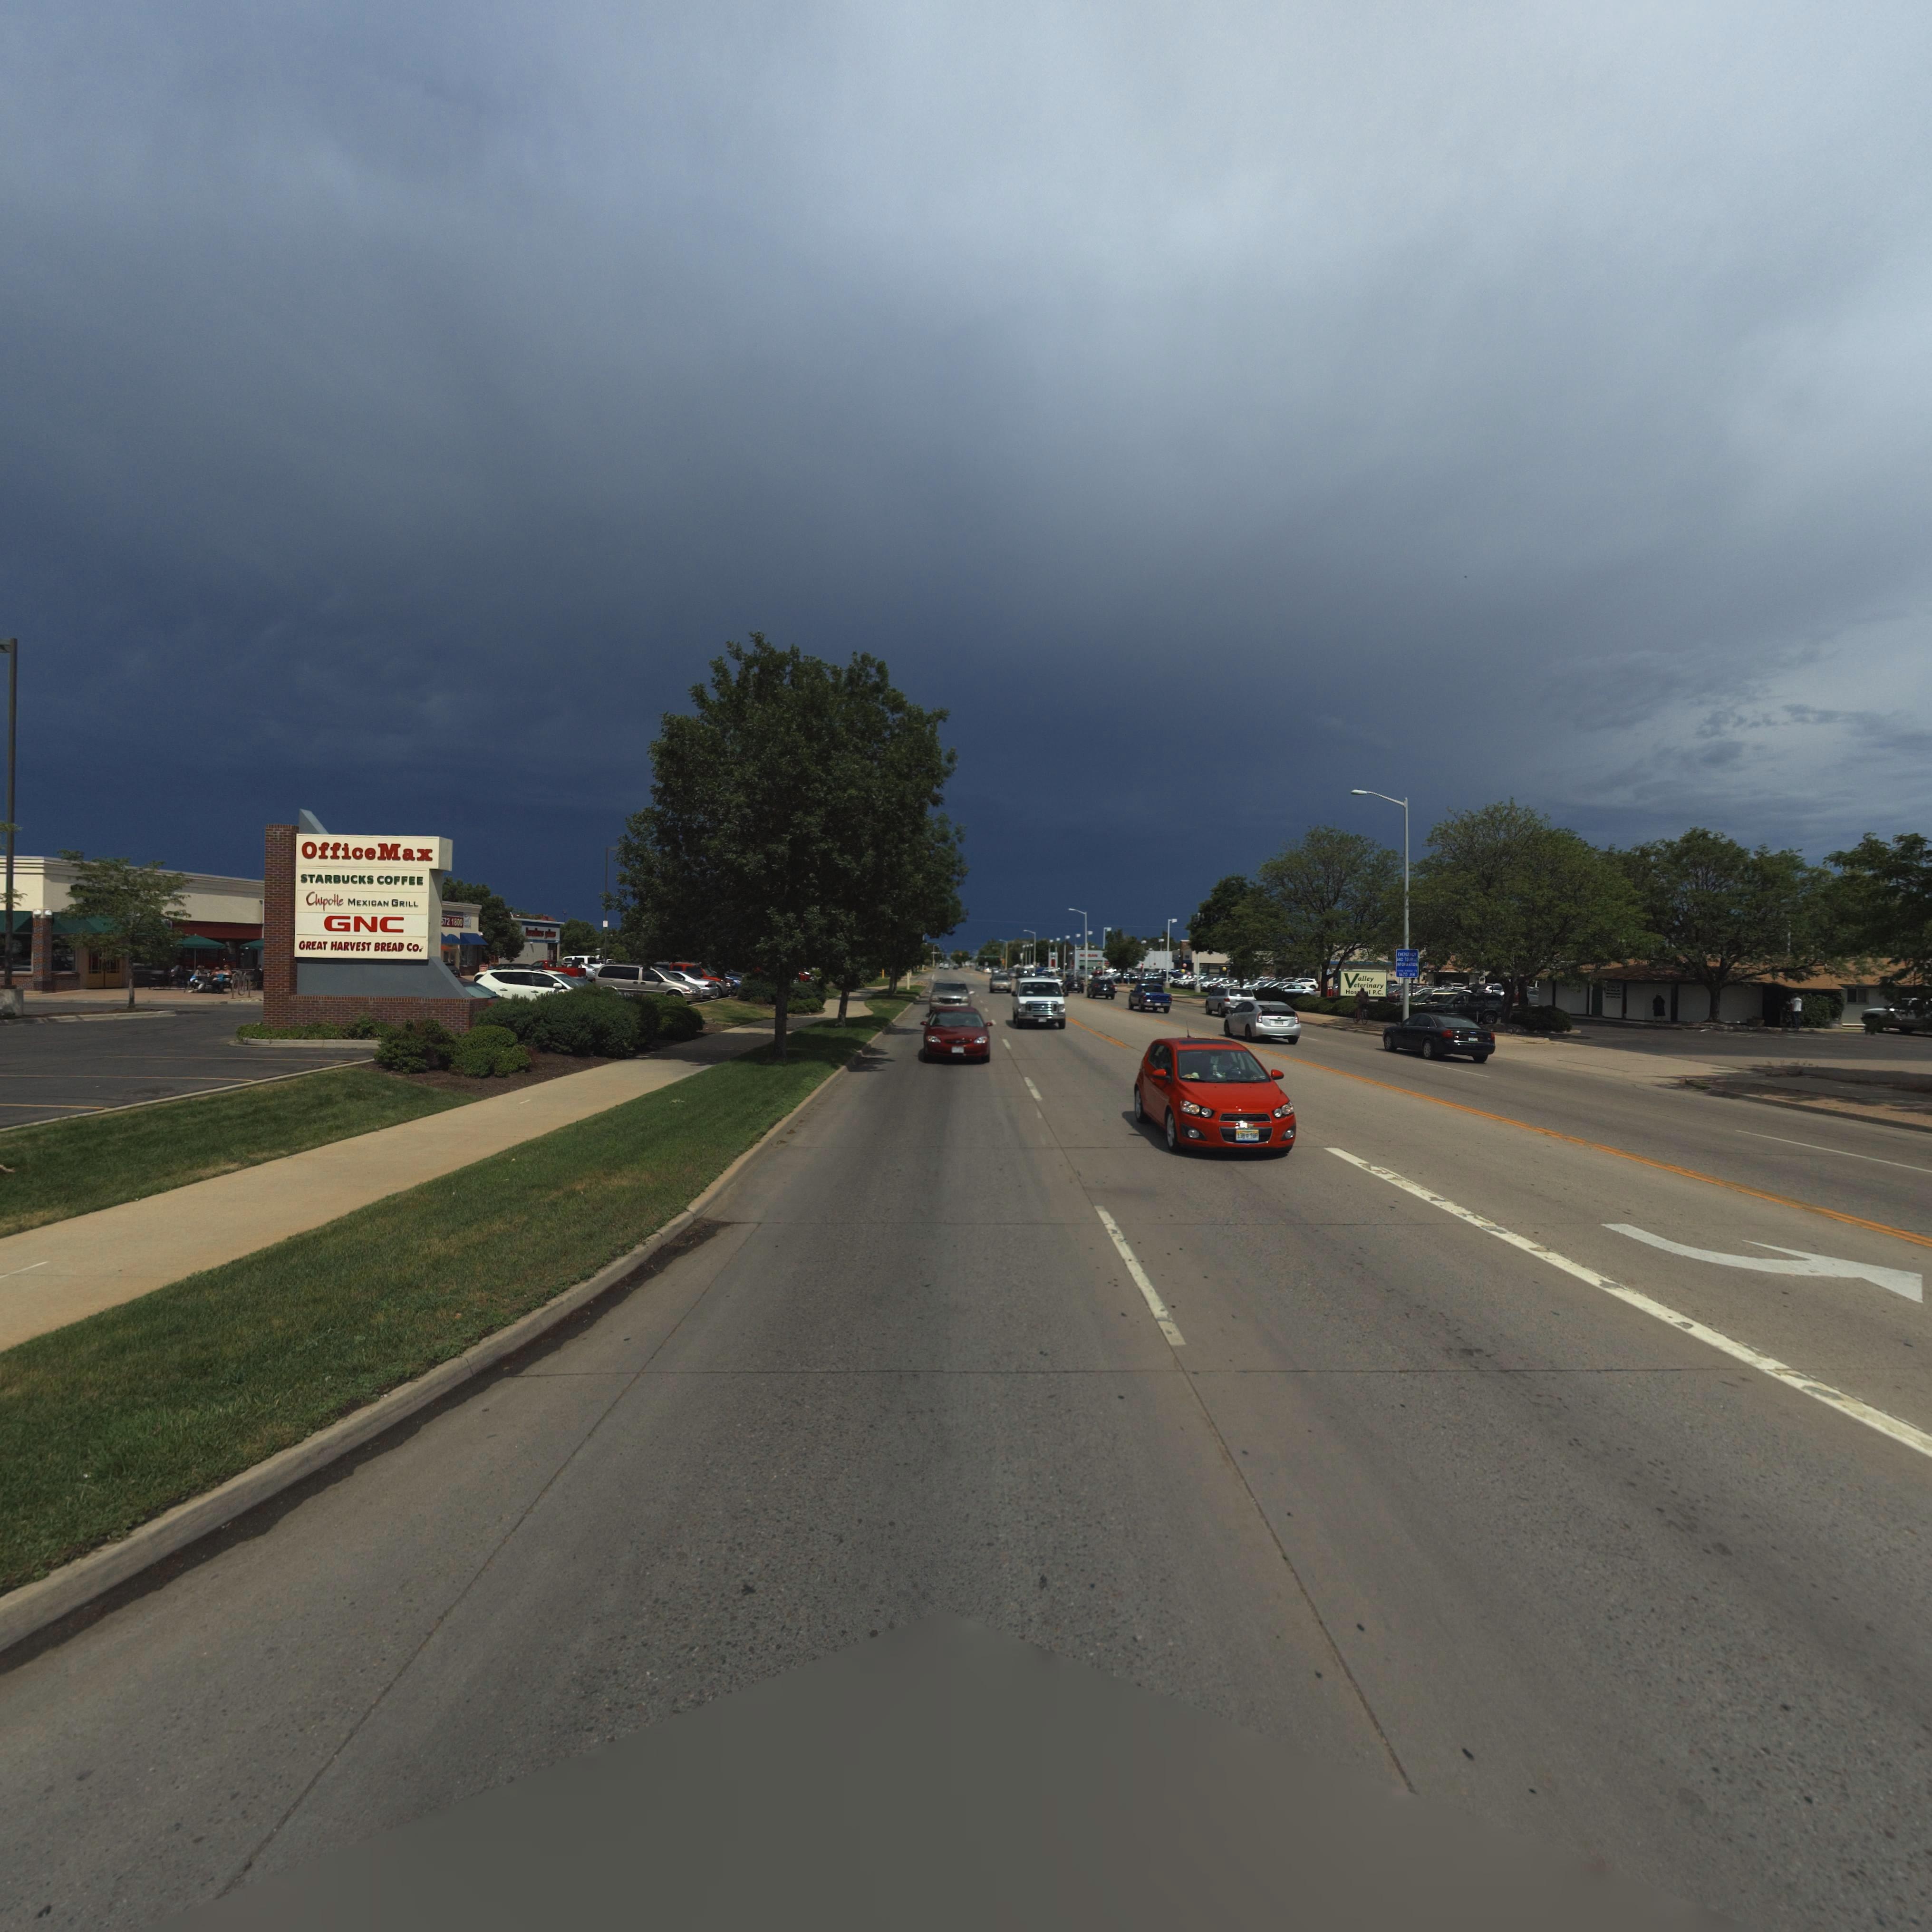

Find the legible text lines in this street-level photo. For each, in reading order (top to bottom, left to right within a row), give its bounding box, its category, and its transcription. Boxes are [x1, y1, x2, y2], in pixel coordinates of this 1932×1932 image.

[301, 841, 433, 861] BusinessName: Office Max
[300, 873, 423, 885] BusinessName: STARBUCKS COFFEE
[305, 891, 419, 911] BusinessName: Chipotle MEXICAN GRILL
[323, 915, 404, 933] BusinessName: GNC
[524, 927, 557, 939] BusinessName: *****s ***s
[299, 940, 422, 952] BusinessName: GREAT HARVEST BREAD Co.
[1079, 953, 1098, 957] BusinessName: ***SAN
[1343, 973, 1360, 988] BusinessName: V
[1357, 975, 1374, 983] BusinessName: alley
[1353, 982, 1384, 989] BusinessName: eterinary
[1345, 989, 1383, 995] BusinessName: Hos****l P.C.